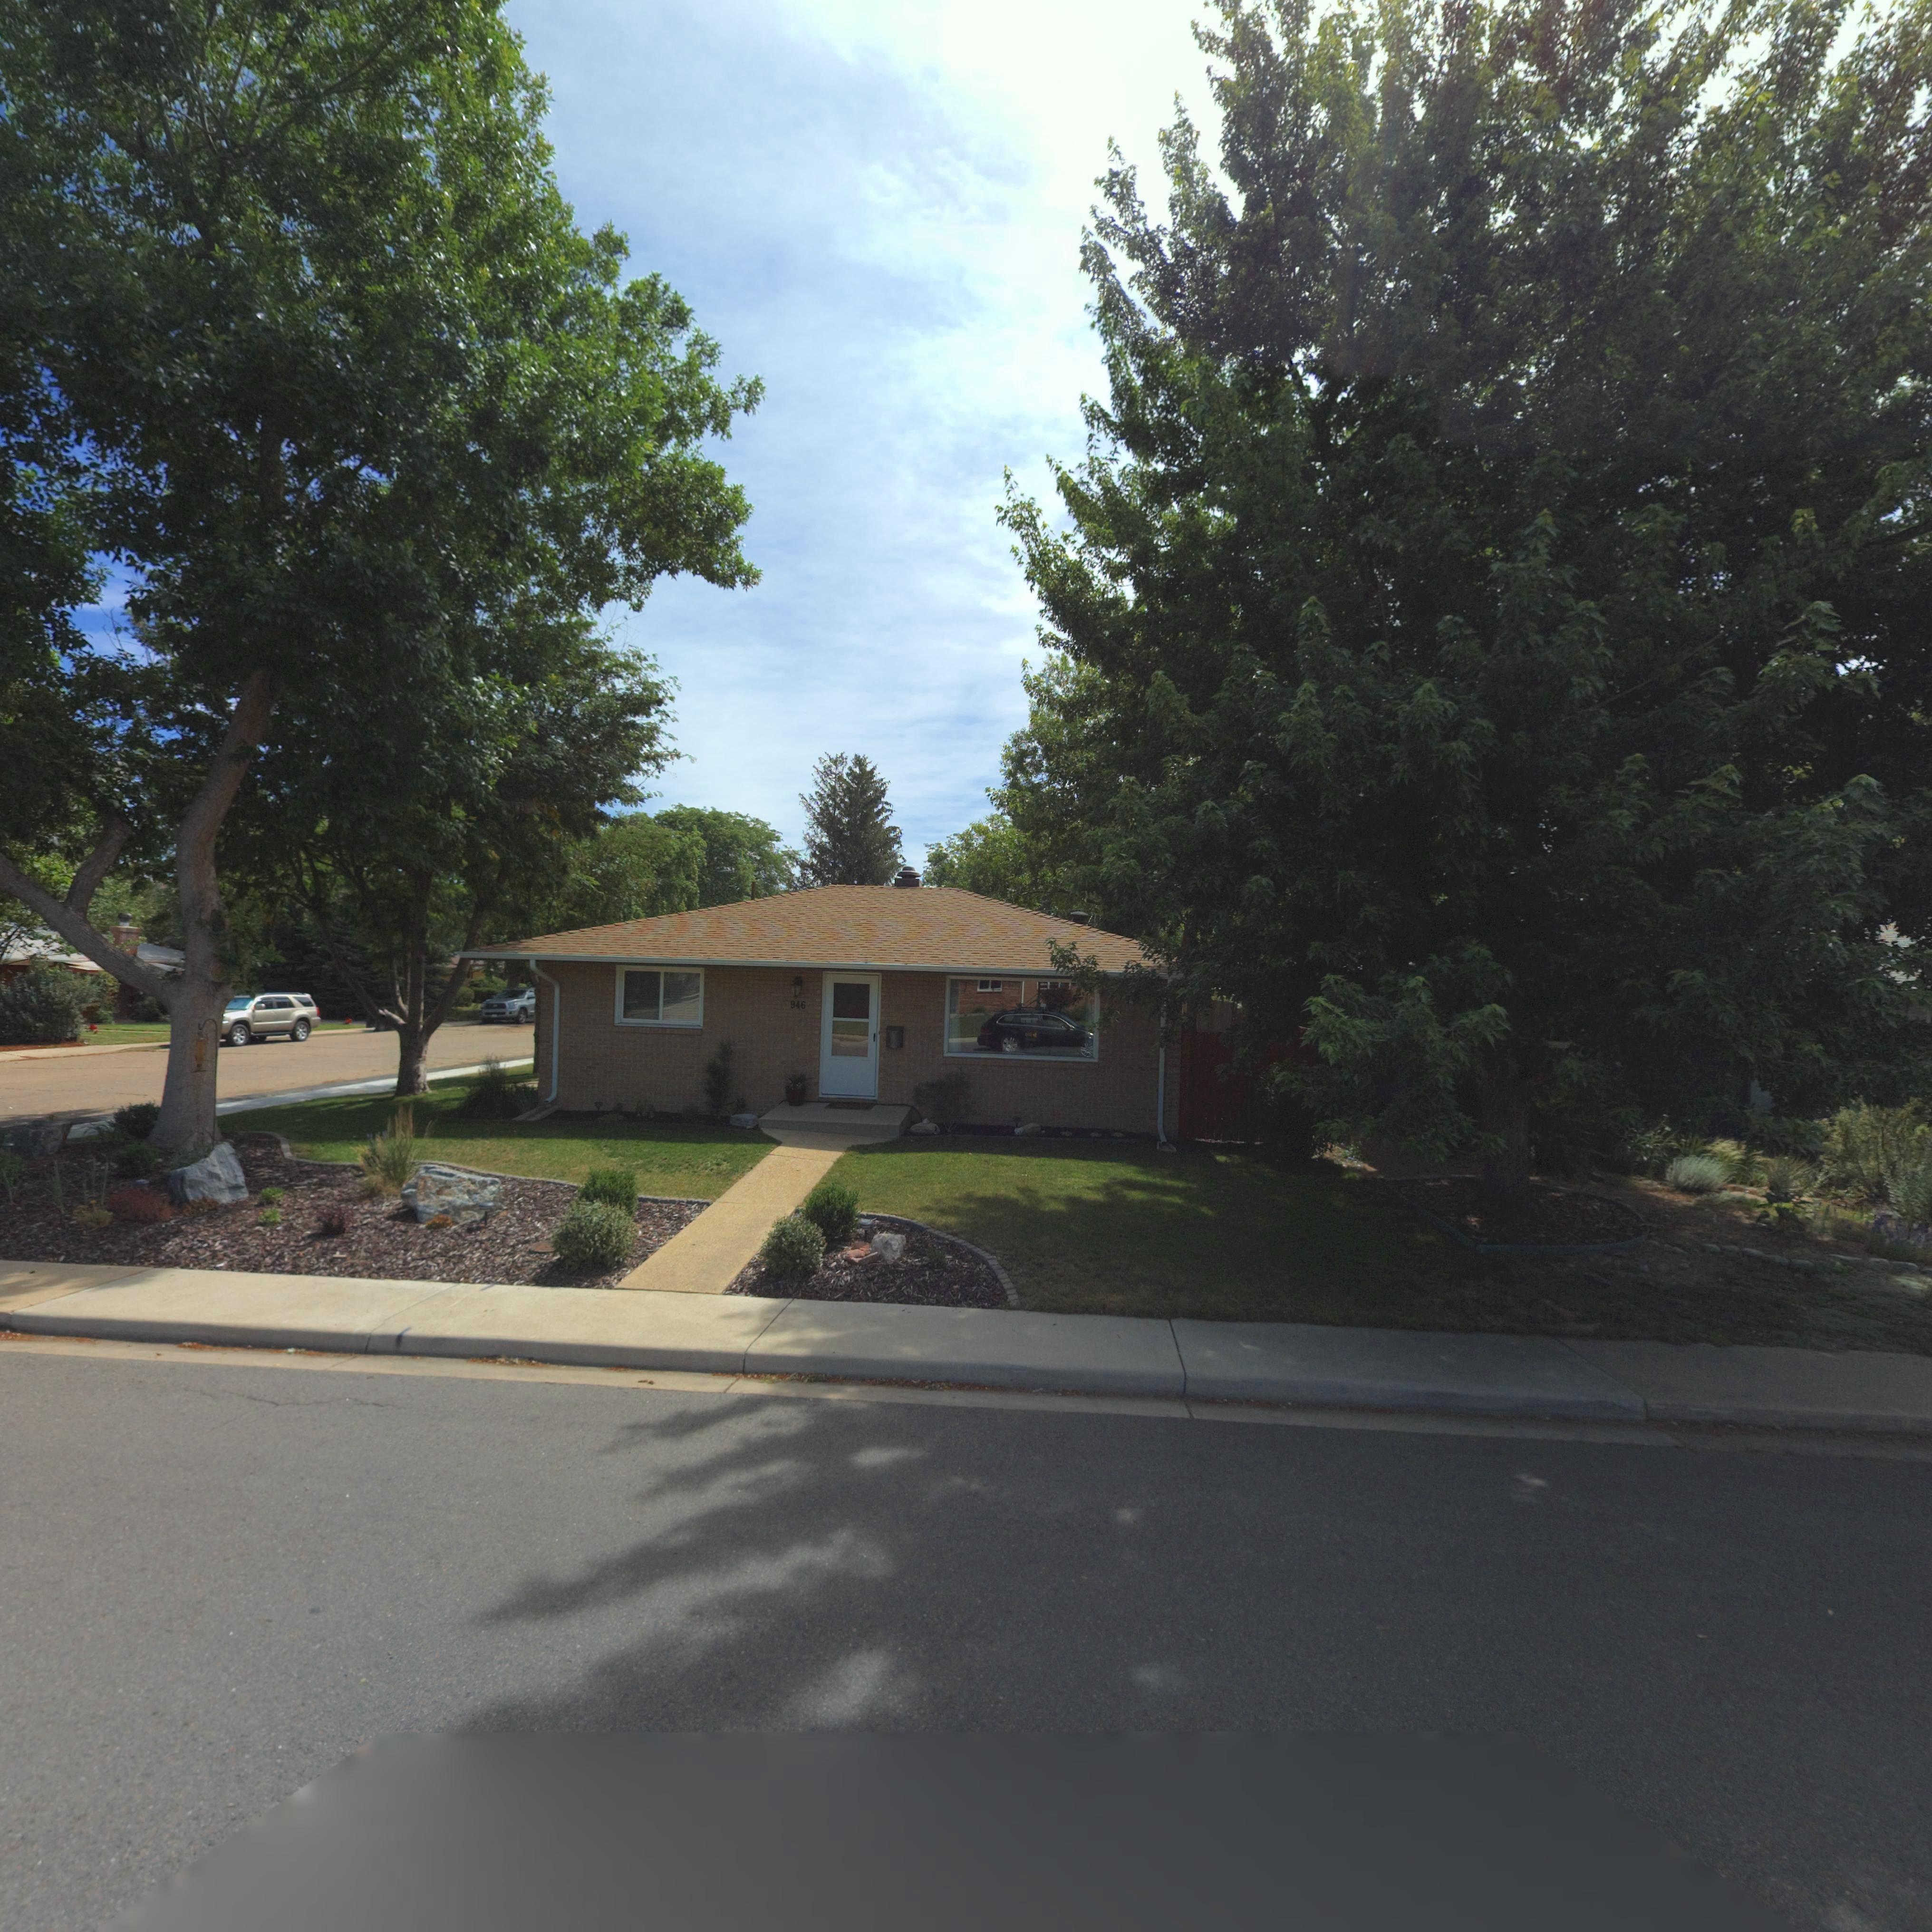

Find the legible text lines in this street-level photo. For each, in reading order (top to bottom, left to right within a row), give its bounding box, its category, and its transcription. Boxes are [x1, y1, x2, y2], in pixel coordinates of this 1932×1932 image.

[790, 1000, 805, 1008] StreetNumber: 946